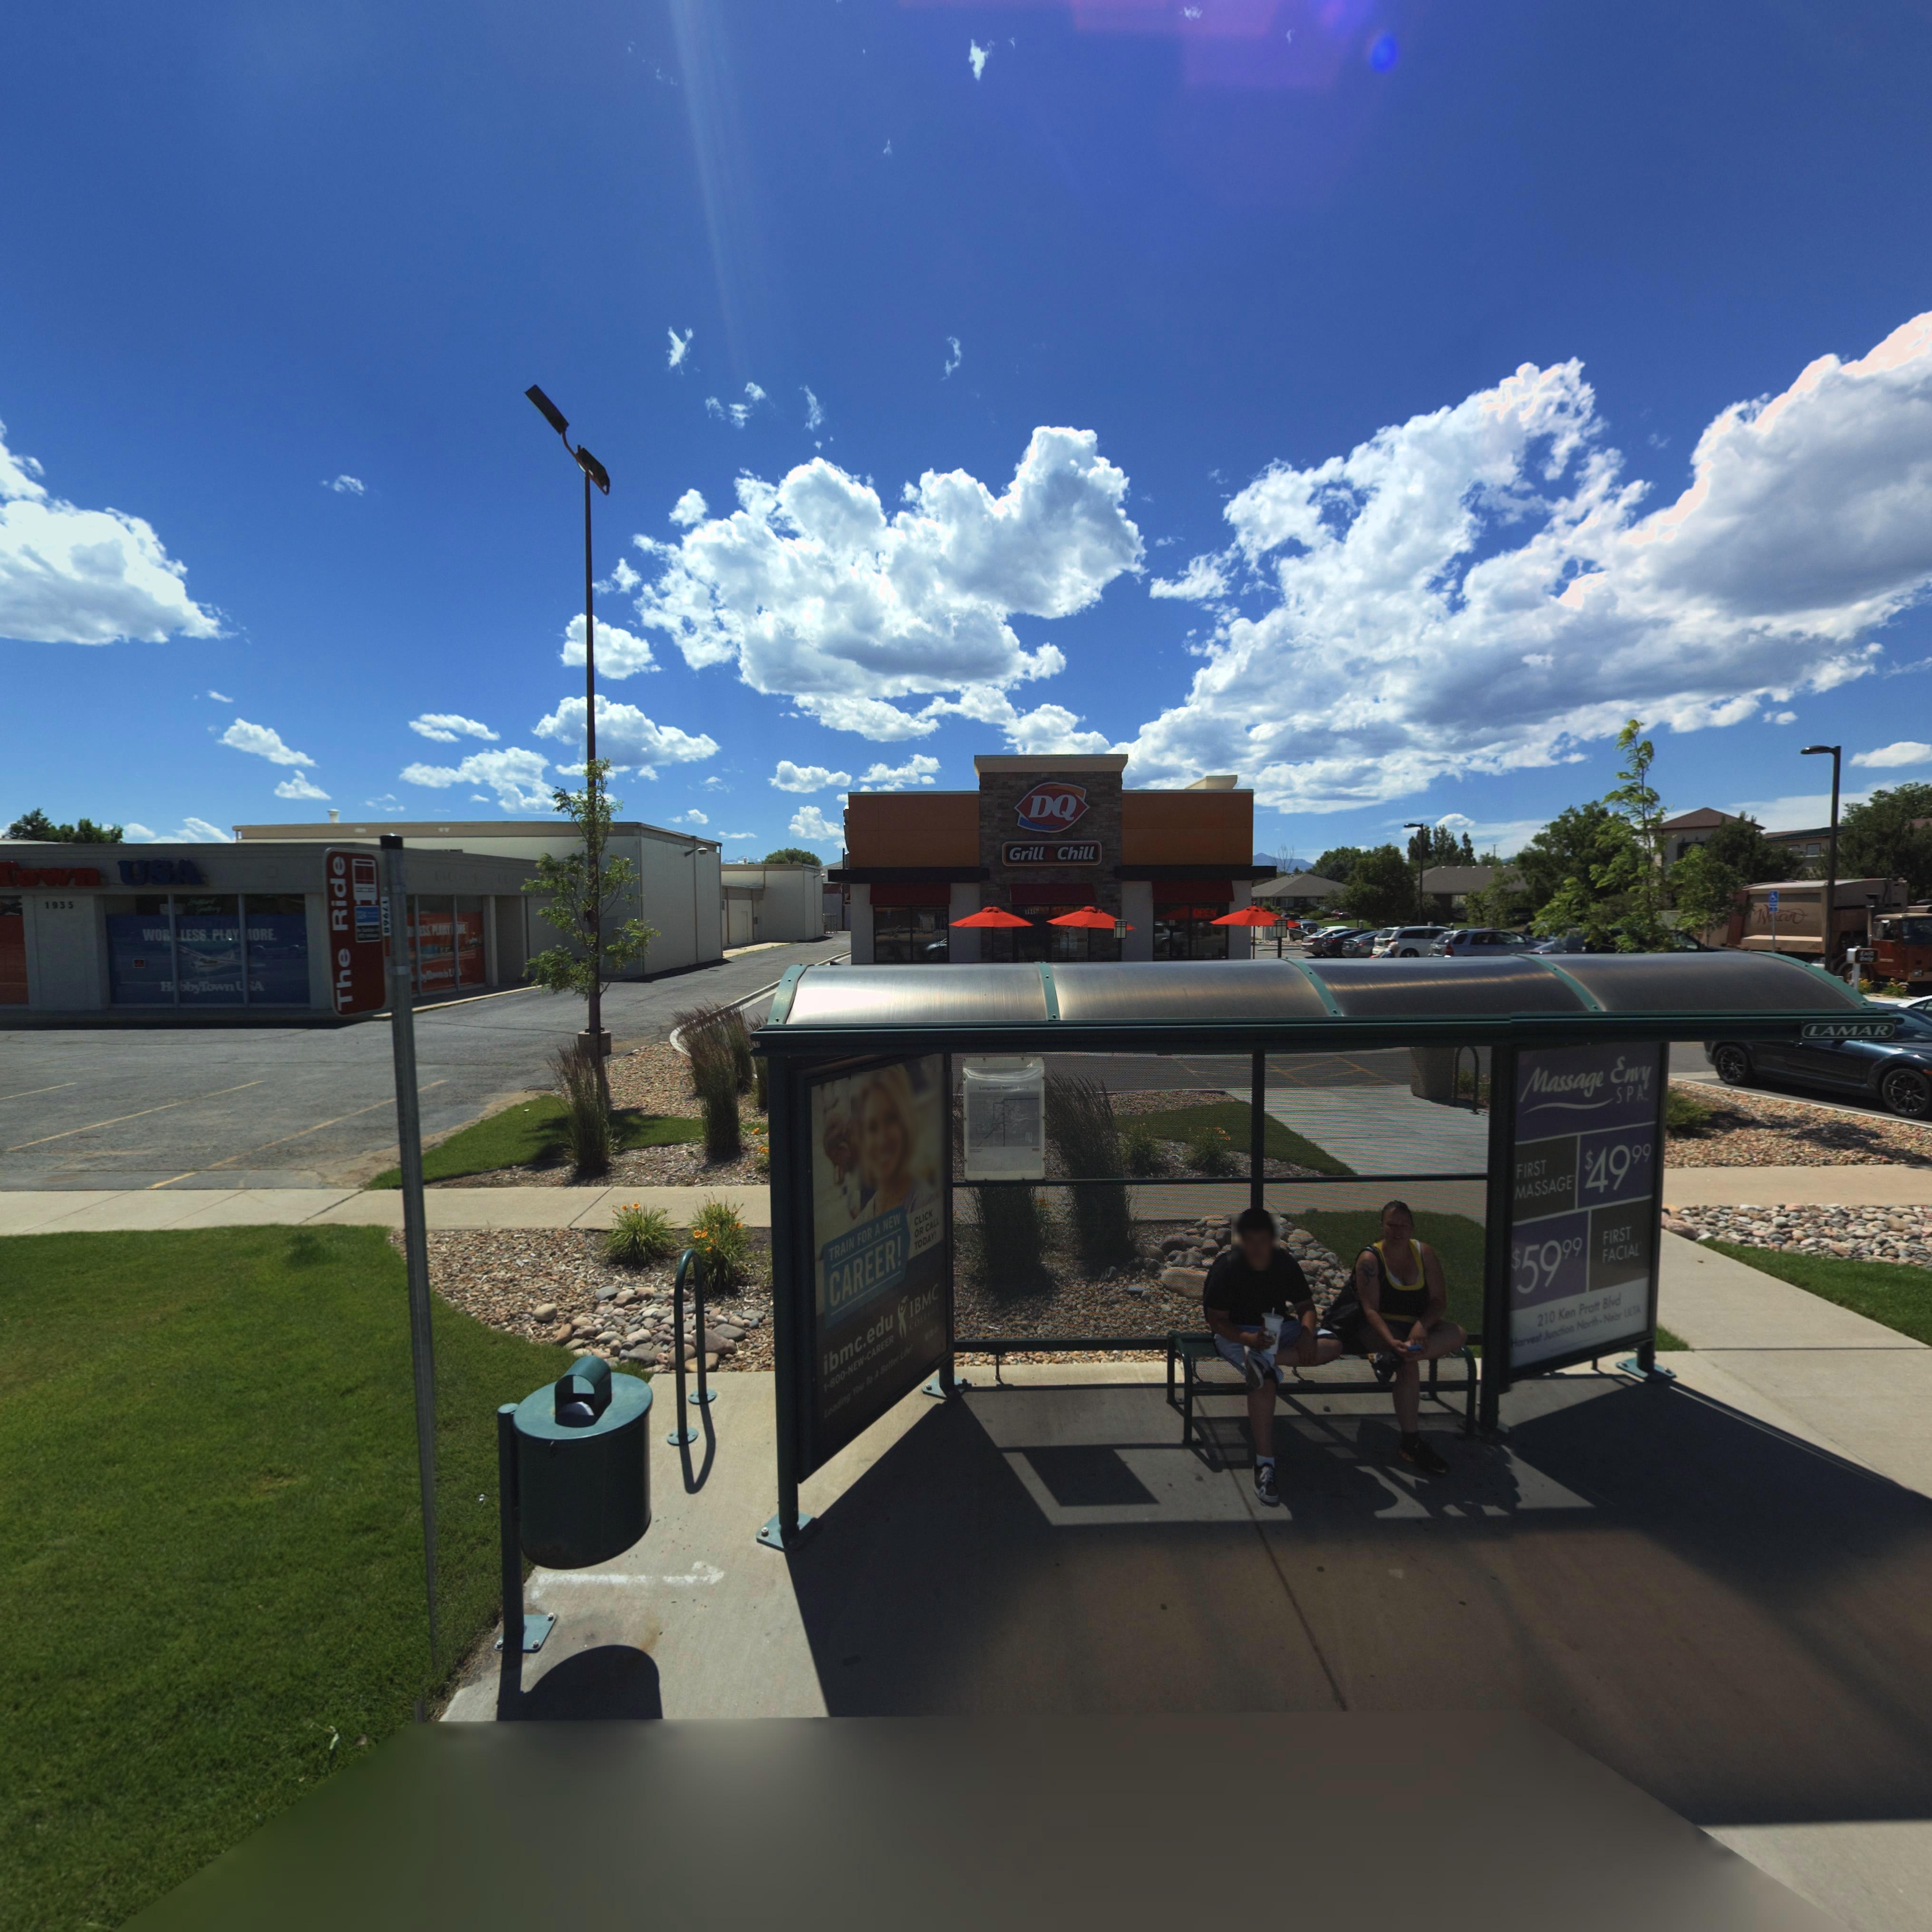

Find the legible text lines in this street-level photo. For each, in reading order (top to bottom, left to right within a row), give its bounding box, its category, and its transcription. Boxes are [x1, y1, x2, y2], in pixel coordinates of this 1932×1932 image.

[1028, 794, 1077, 821] BusinessName: DQ
[14, 858, 206, 887] BusinessName: own USA
[45, 901, 74, 909] StreetNumber: 1935
[1026, 908, 1037, 915] StreetNumber: 1945
[160, 980, 265, 994] BusinessName: H*bbyTown **A